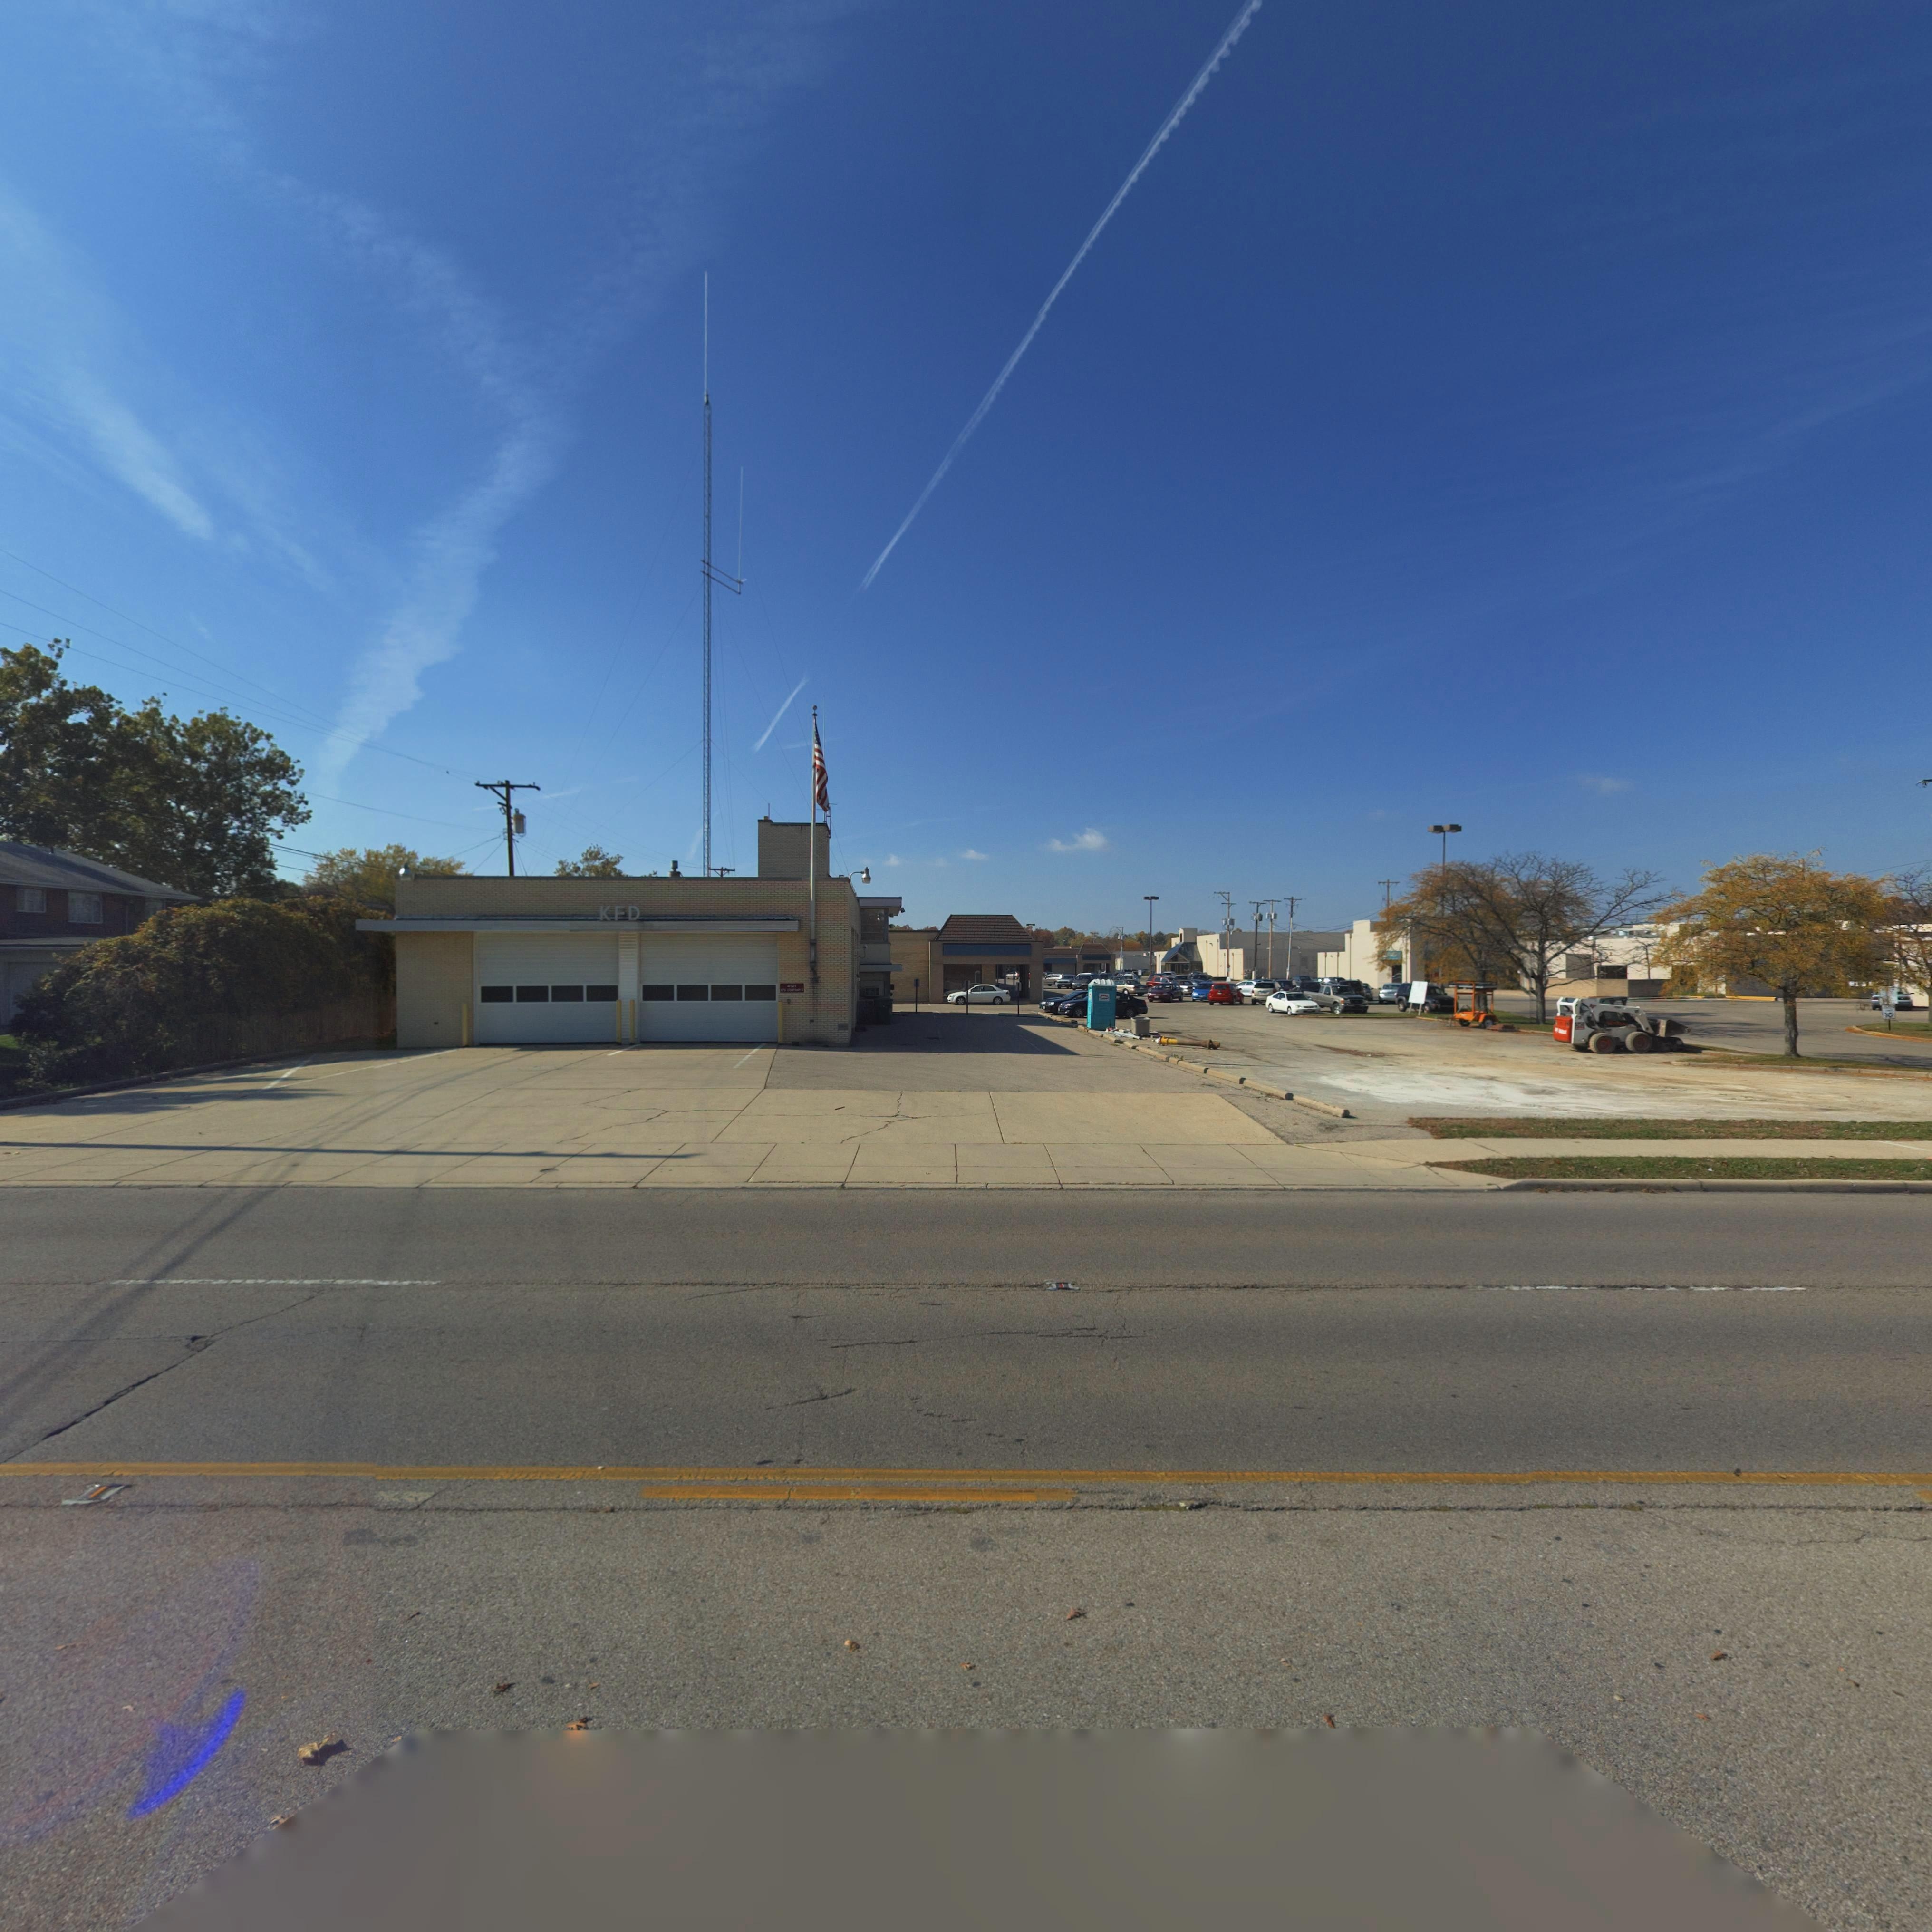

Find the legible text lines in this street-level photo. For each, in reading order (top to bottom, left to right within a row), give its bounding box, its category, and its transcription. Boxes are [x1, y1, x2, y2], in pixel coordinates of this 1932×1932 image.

[599, 905, 640, 921] None: KFD
[786, 984, 796, 988] StreetNumber: 4121
[1884, 1012, 1893, 1018] None: 10
[1575, 1022, 1585, 1027] None: 5752